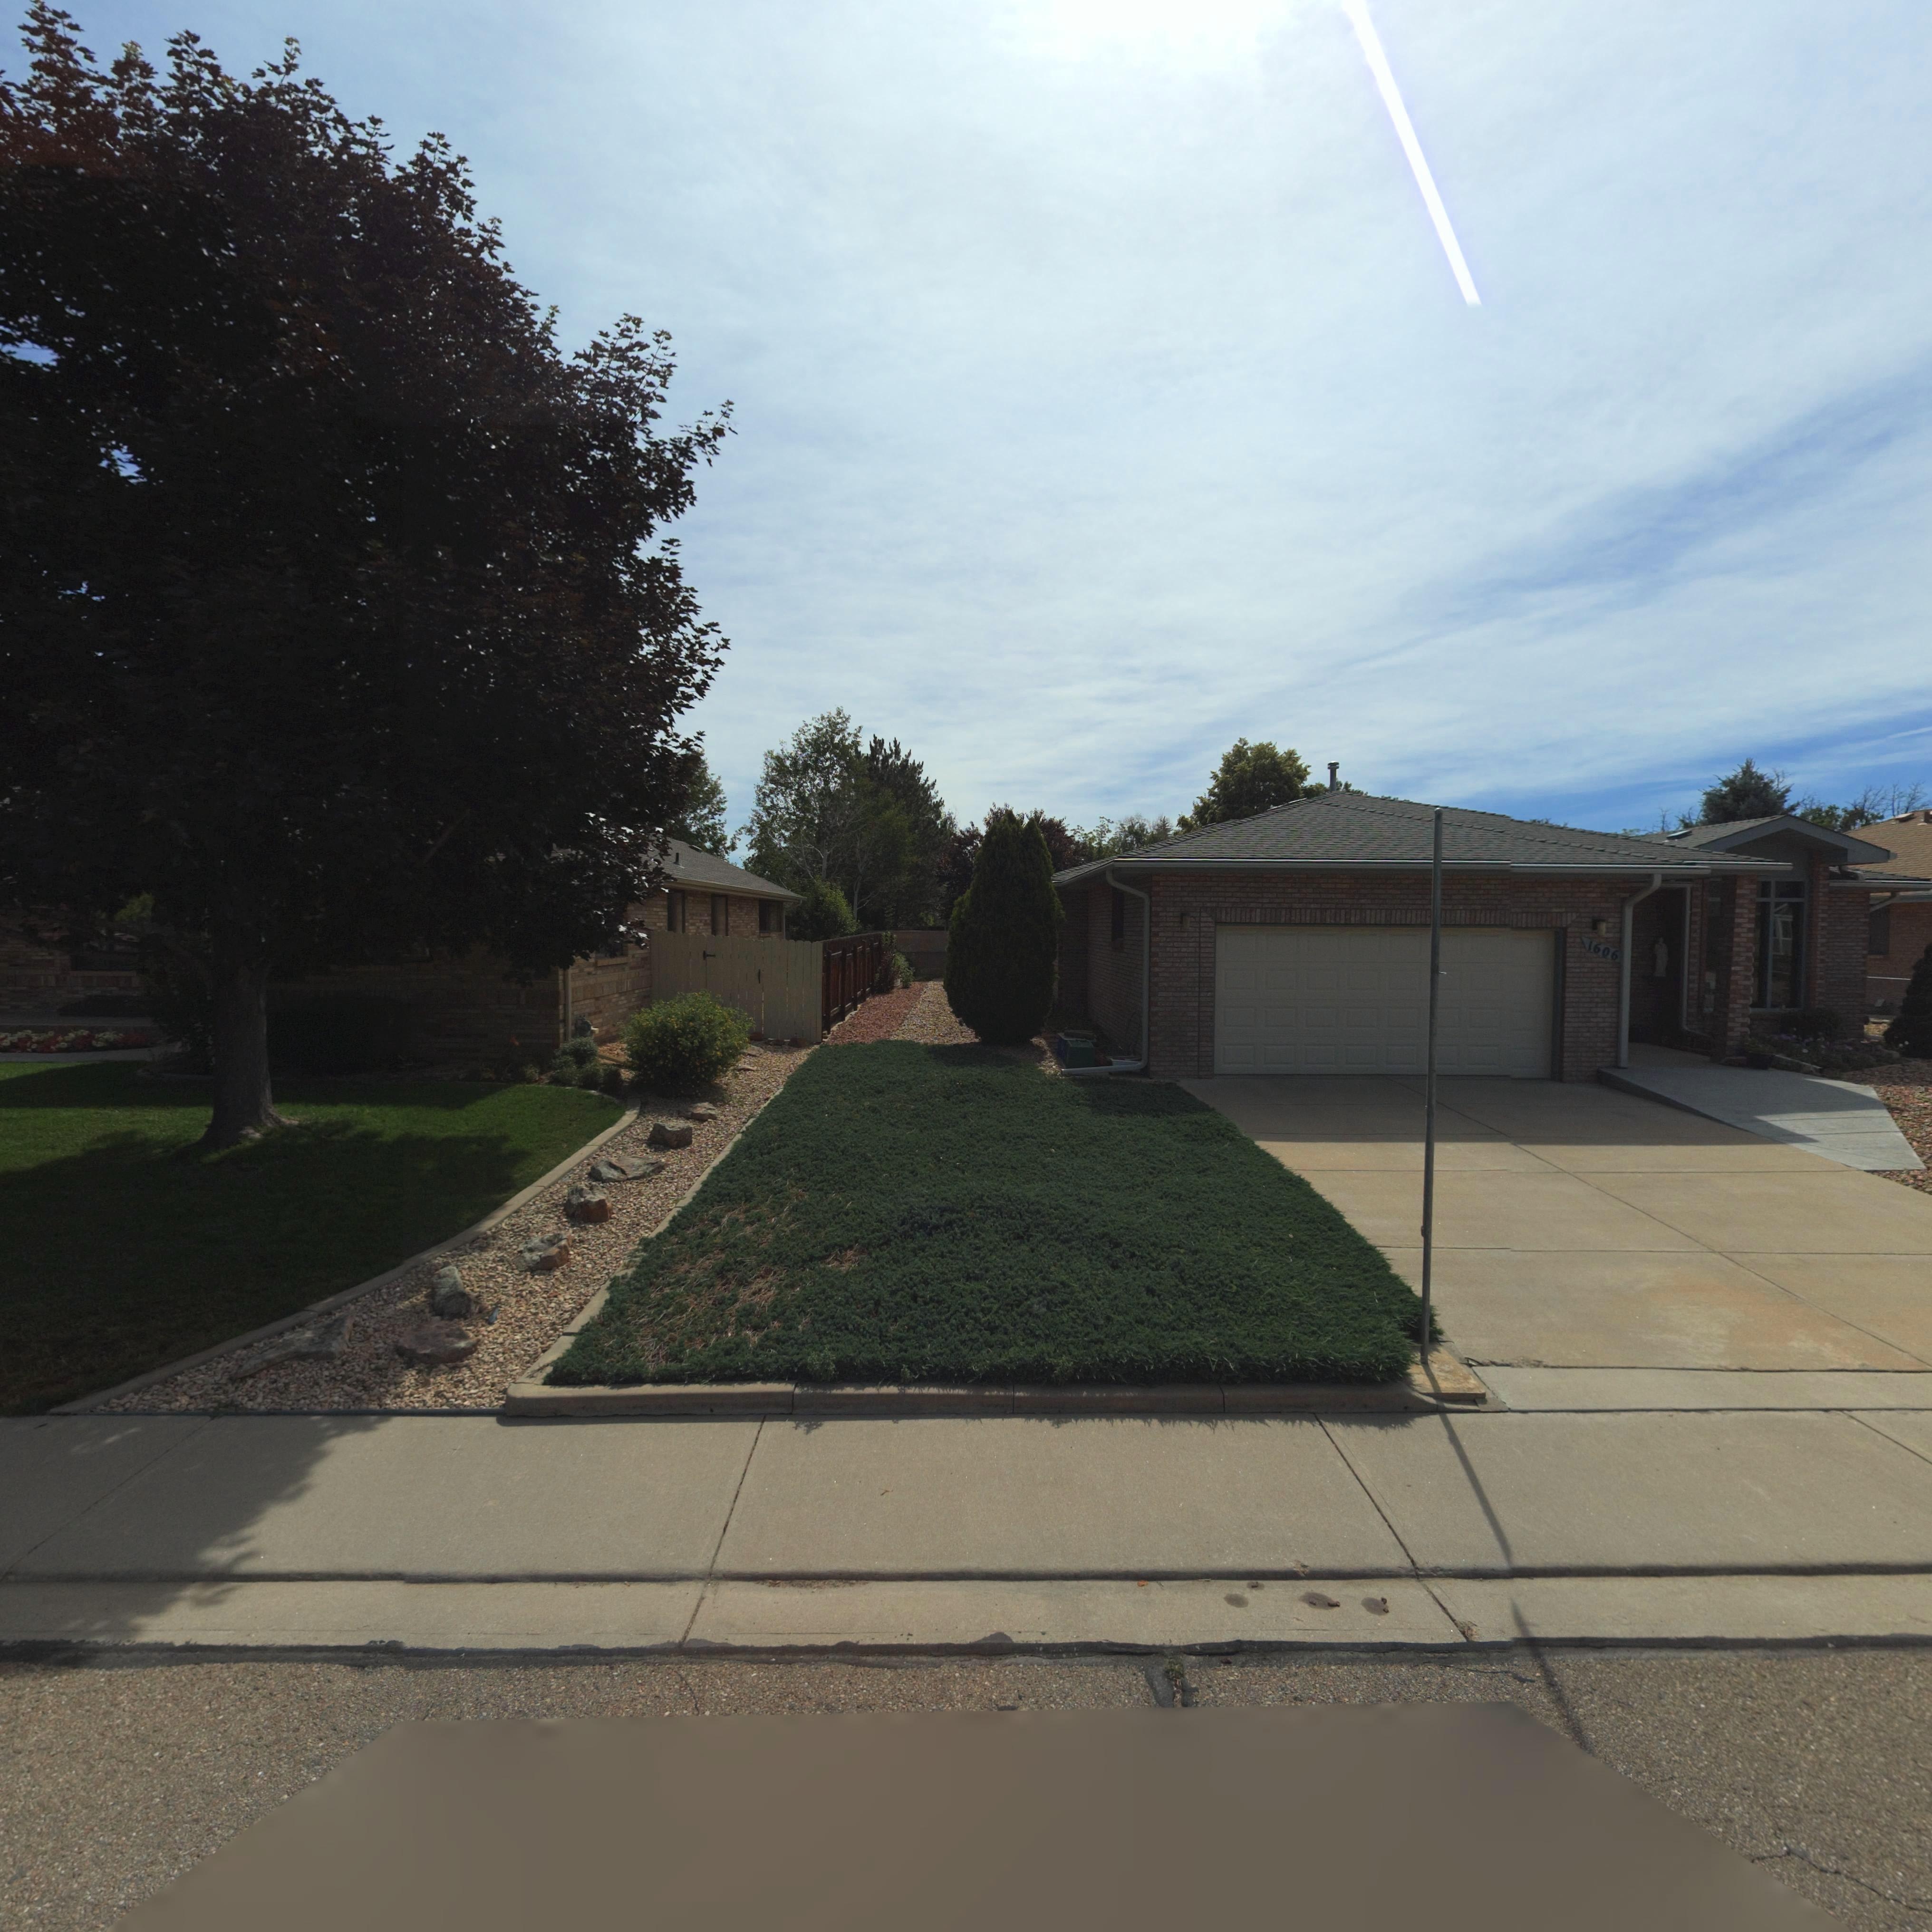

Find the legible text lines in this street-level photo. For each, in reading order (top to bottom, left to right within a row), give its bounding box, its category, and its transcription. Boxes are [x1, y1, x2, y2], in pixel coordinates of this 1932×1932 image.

[1586, 940, 1620, 962] StreetNumber: 1606